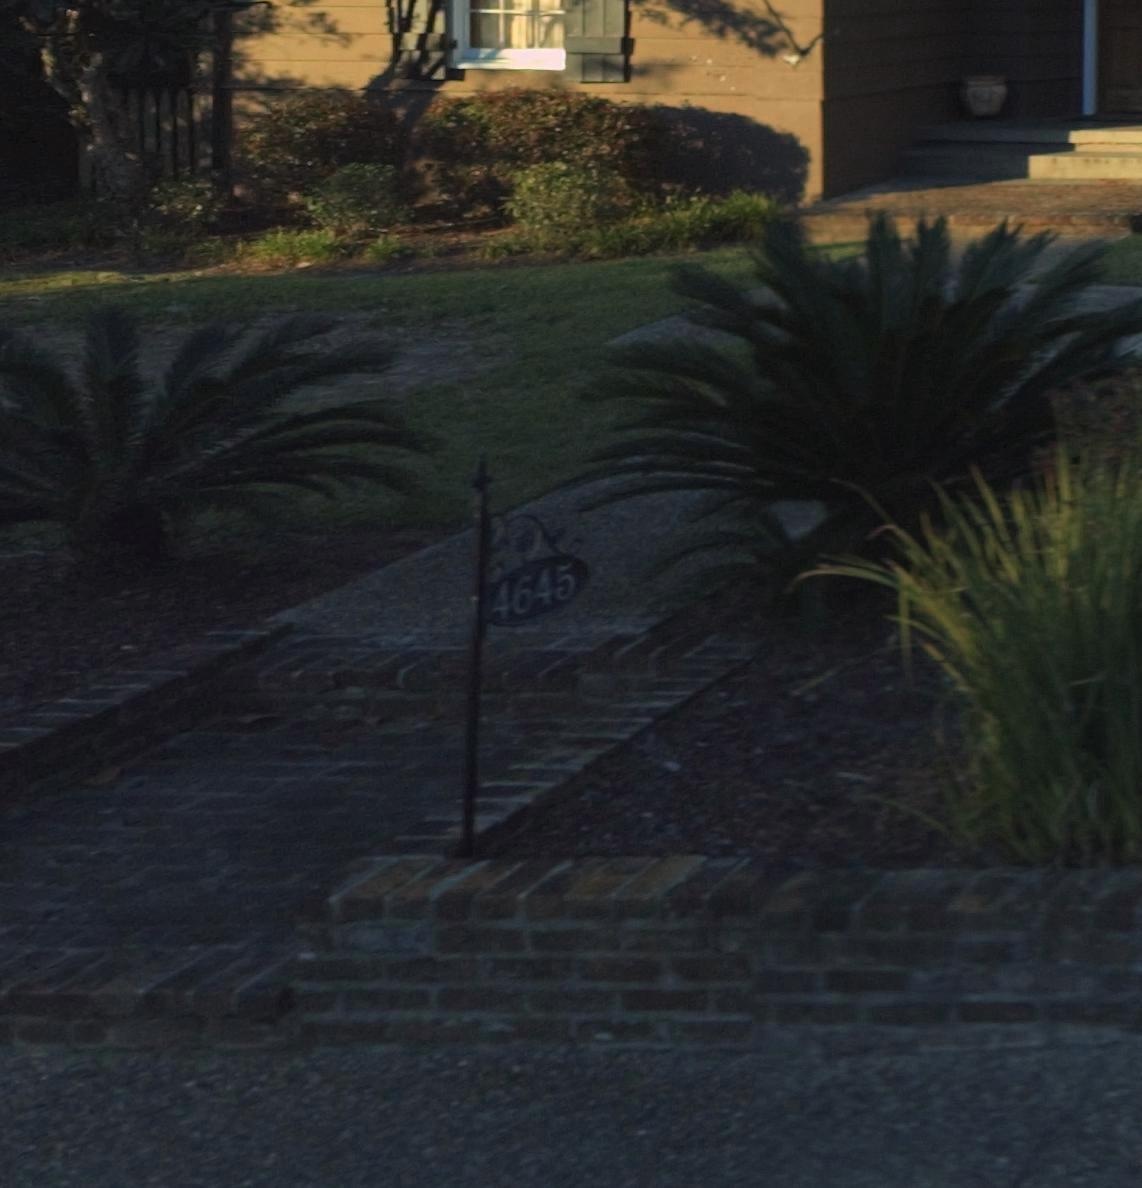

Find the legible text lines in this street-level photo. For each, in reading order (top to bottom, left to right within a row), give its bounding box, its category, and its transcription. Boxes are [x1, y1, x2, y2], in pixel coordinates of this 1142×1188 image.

[488, 556, 580, 625] StreetNumber: 4645